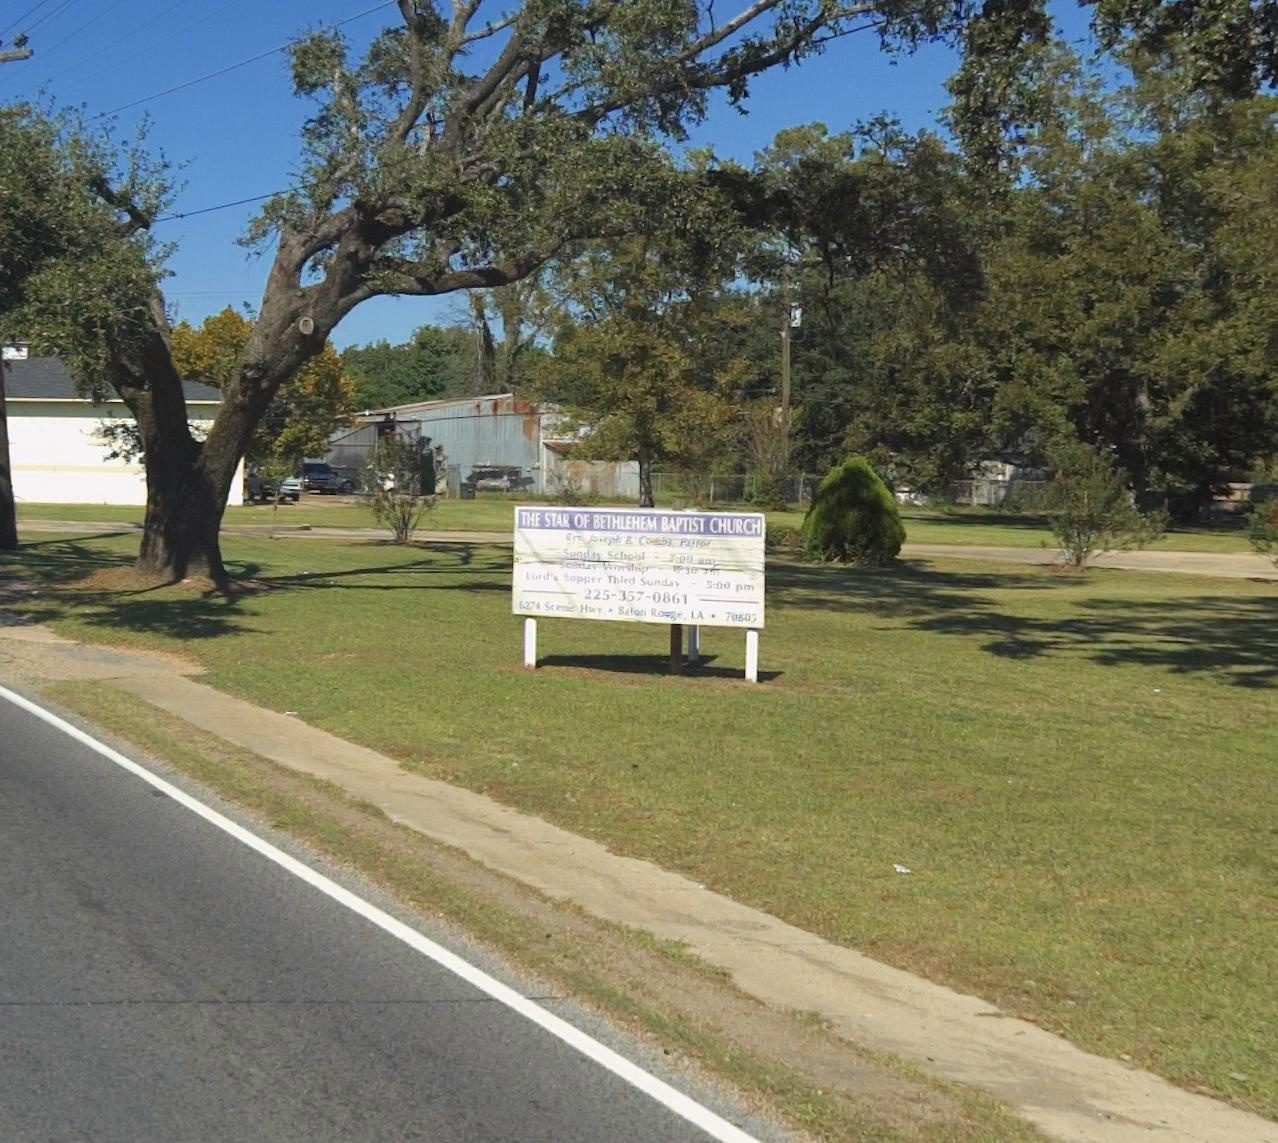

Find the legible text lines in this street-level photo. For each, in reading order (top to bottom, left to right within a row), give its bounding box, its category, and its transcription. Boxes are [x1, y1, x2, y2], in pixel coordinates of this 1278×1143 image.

[519, 510, 762, 535] BusinessName: THE STAR OF BETHLEHEM BAPTIST CHURCH
[561, 545, 717, 567] None: Sunday School - *:00 am
[558, 559, 721, 577] None: Sunday Worship - *:30 am
[525, 569, 757, 595] None: Lord's Supper Third Sunday - 5:00 pm
[517, 598, 542, 612] StreetNumber: 627*
[543, 601, 606, 617] StreetName: Scenic Hwy
[581, 586, 688, 607] None: 225-357-0861
[615, 605, 759, 624] None: Baton Rouge, LA - 70805